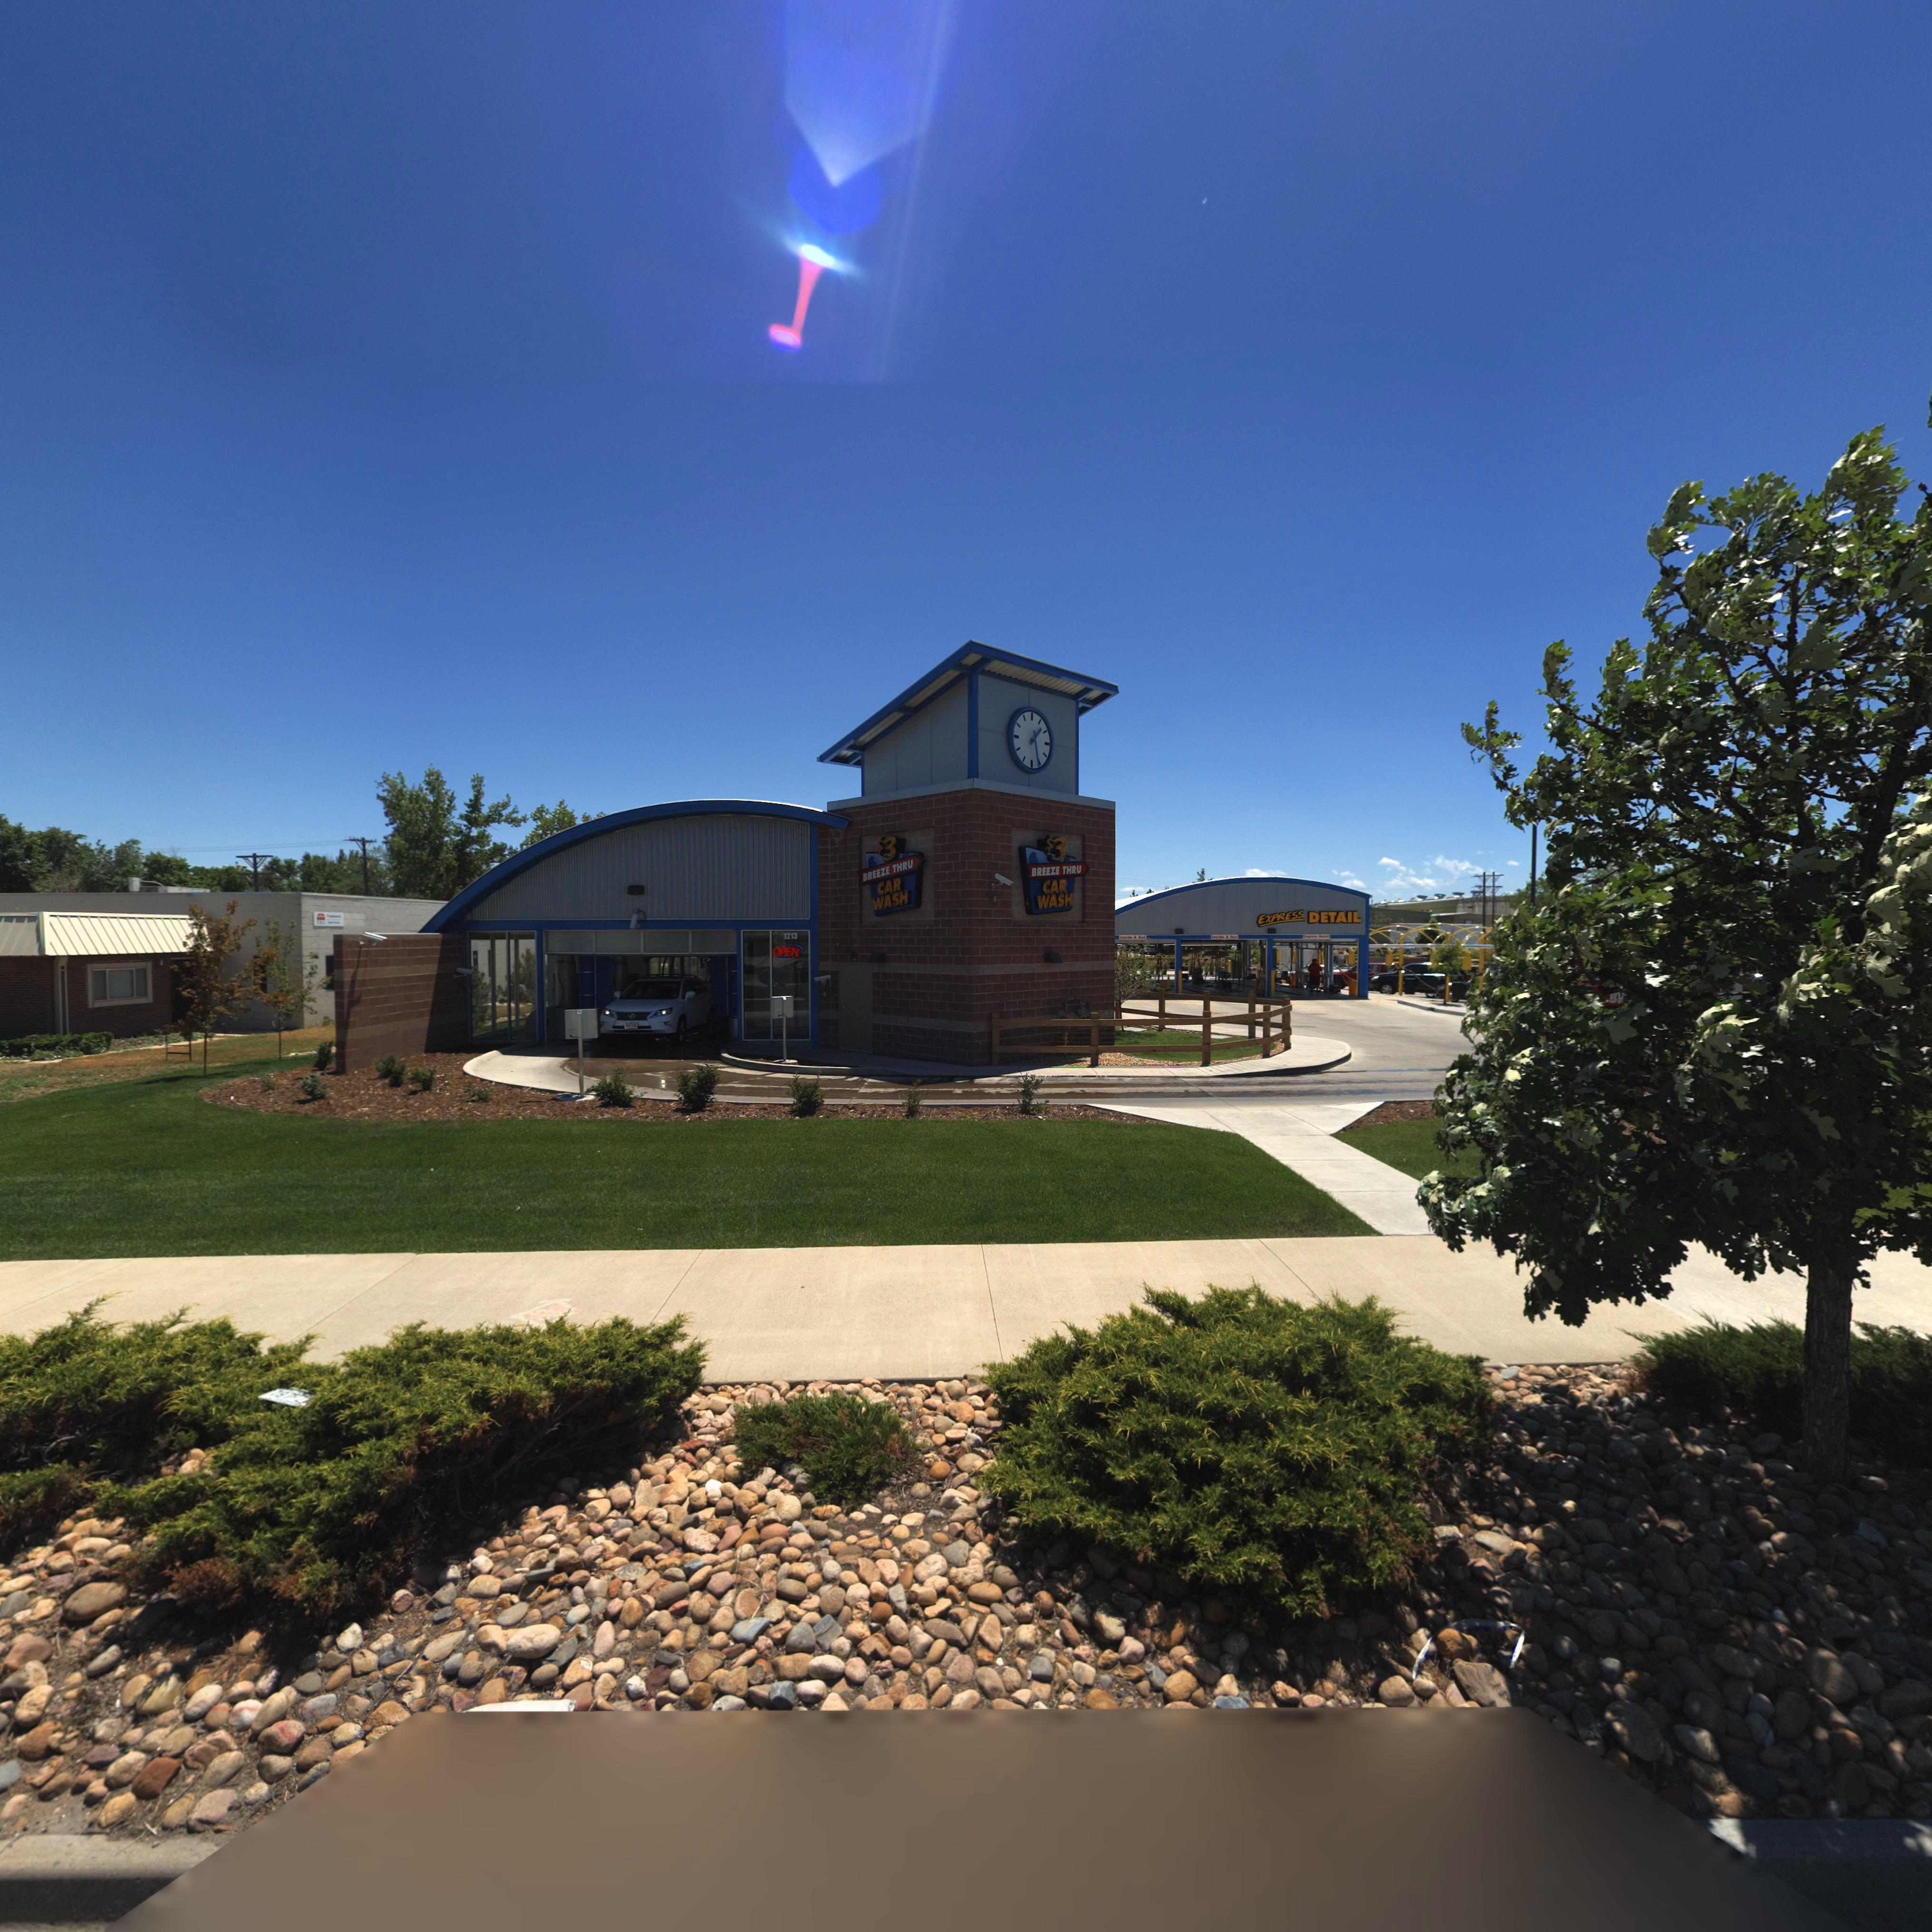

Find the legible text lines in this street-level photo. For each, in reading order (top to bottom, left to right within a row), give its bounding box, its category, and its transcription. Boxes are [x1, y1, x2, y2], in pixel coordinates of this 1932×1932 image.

[862, 859, 913, 881] BusinessName: BREEZE THRU
[1031, 865, 1082, 877] BusinessName: BREEZE THRU
[877, 877, 901, 895] BusinessName: CAR
[1043, 879, 1067, 894] BusinessName: CAR
[871, 889, 908, 911] BusinessName: WASH
[1036, 892, 1073, 909] BusinessName: WASH
[783, 932, 797, 939] StreetNumber: 1213